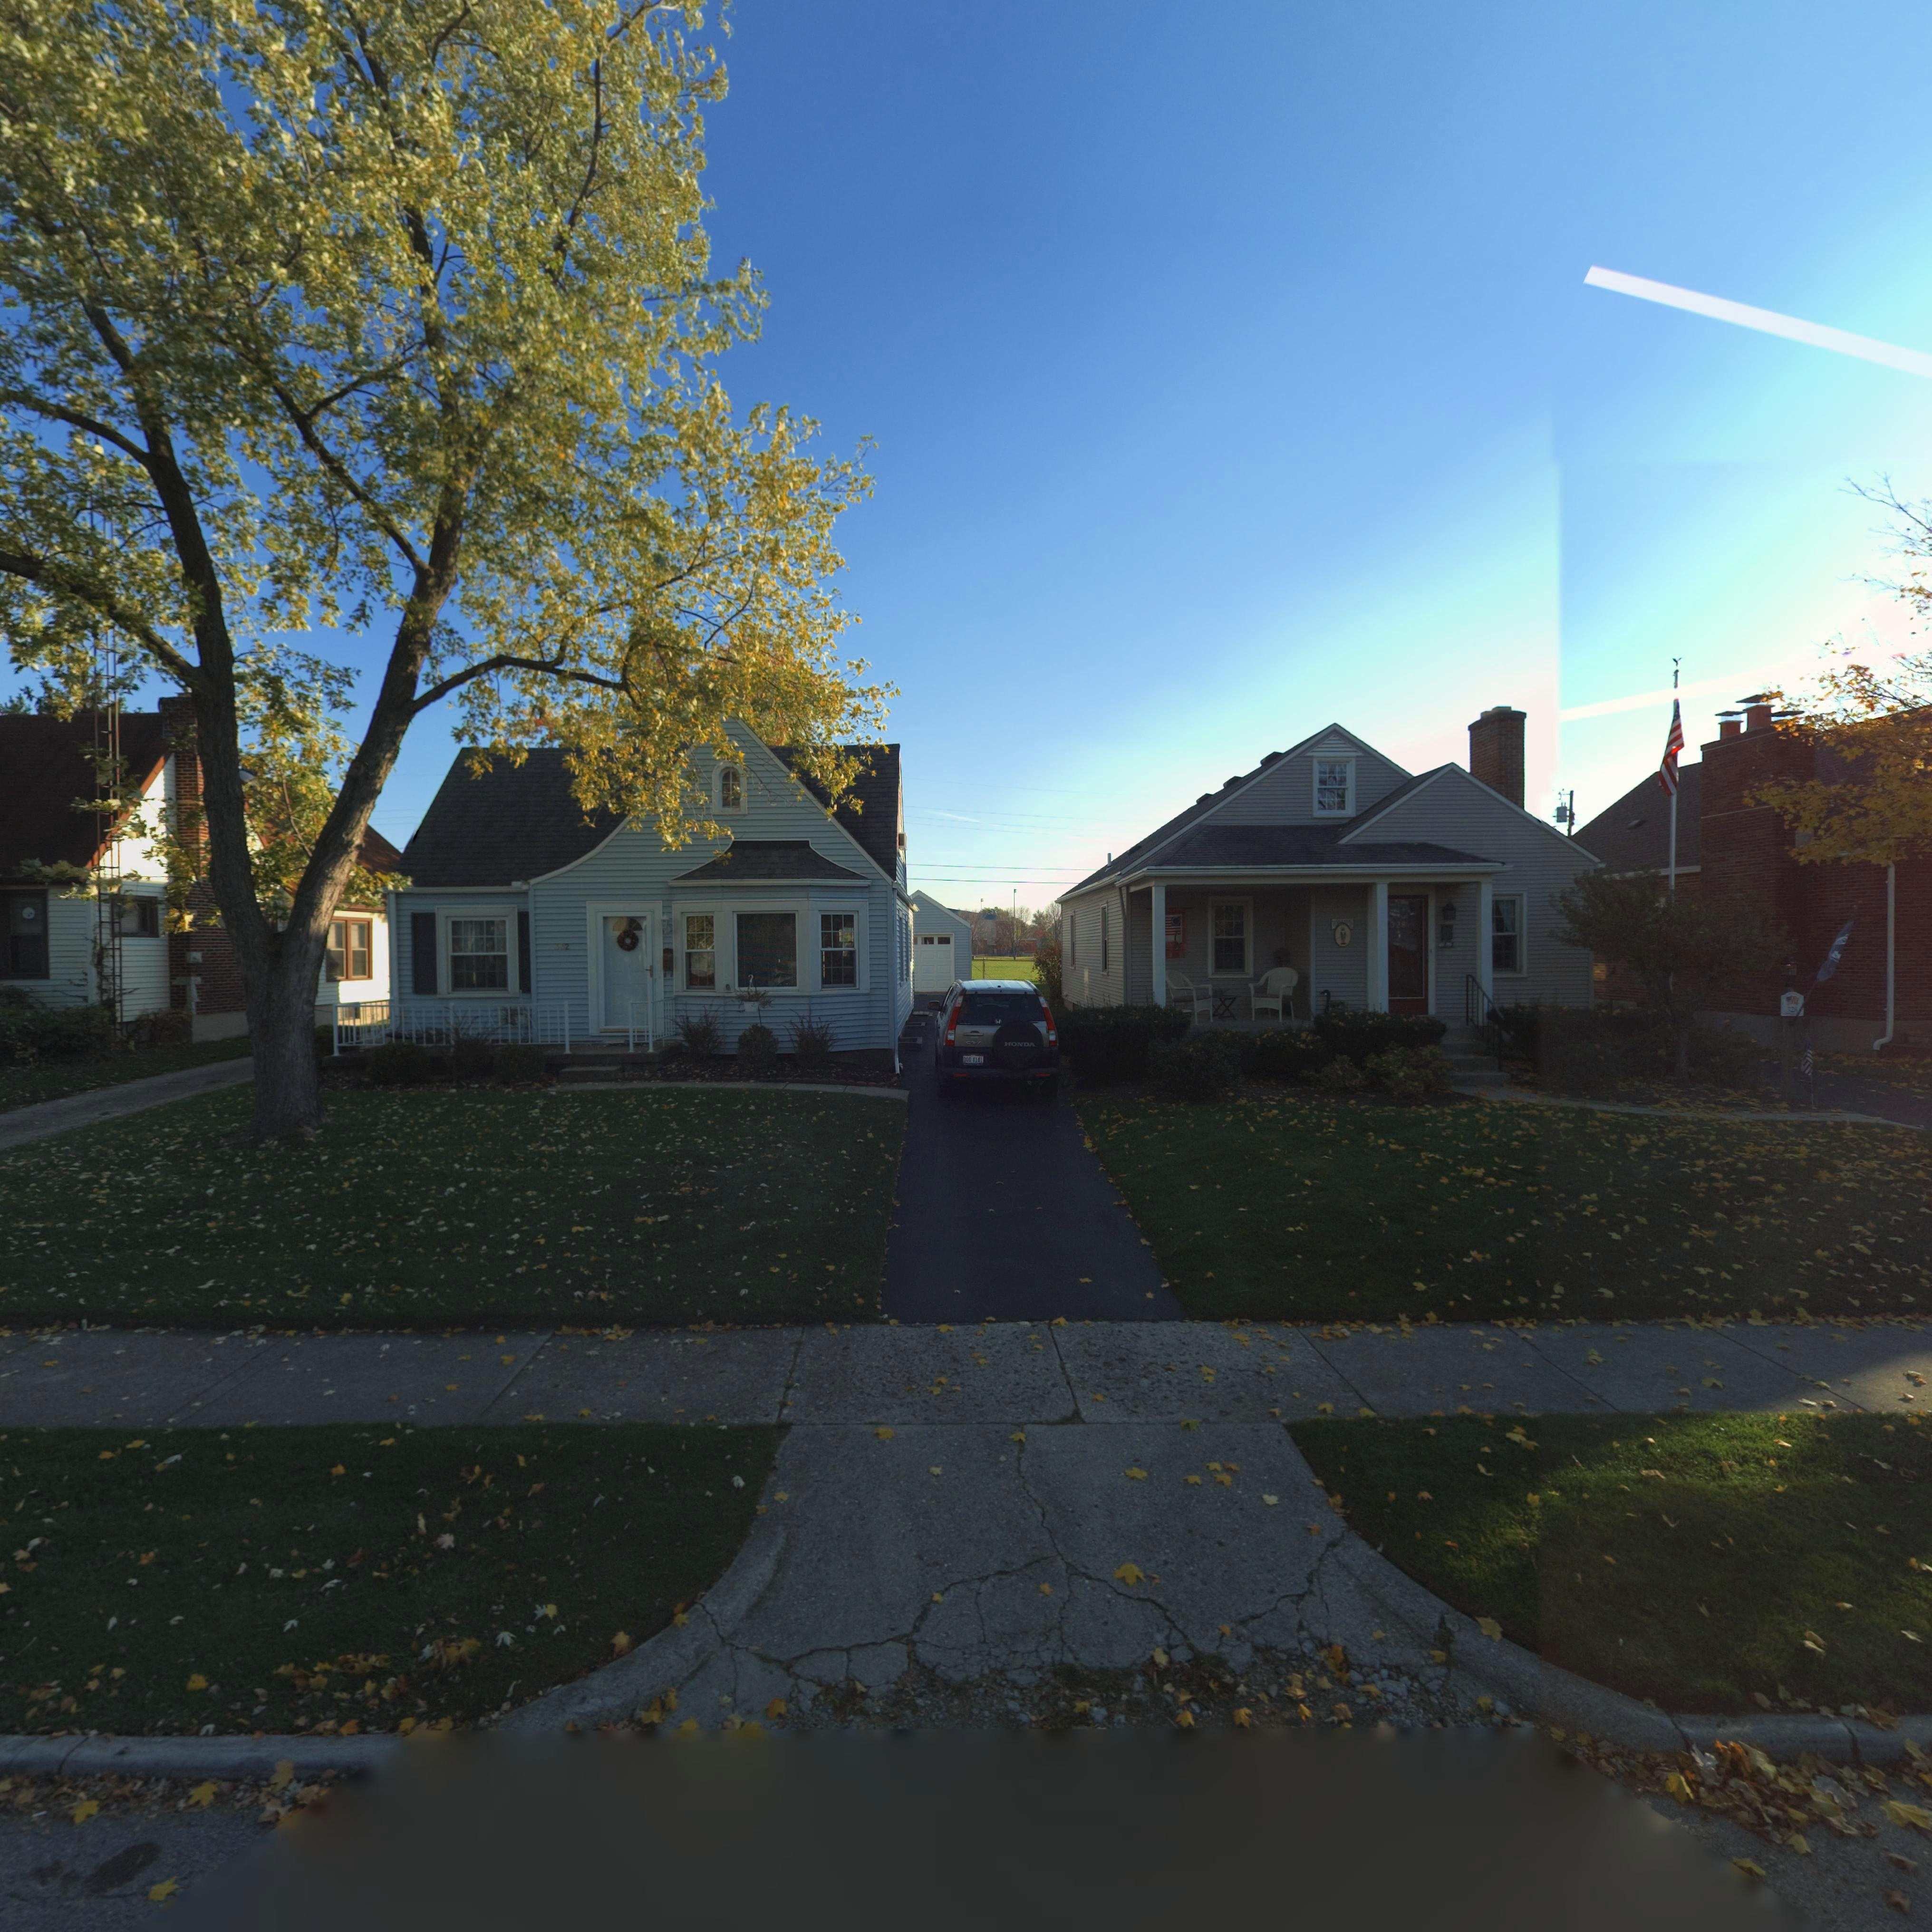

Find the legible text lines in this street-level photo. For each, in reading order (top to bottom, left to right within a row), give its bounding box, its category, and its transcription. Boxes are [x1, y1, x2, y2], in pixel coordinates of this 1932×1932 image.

[1390, 921, 1406, 929] StreetNumber: 328
[553, 942, 570, 951] StreetNumber: 332